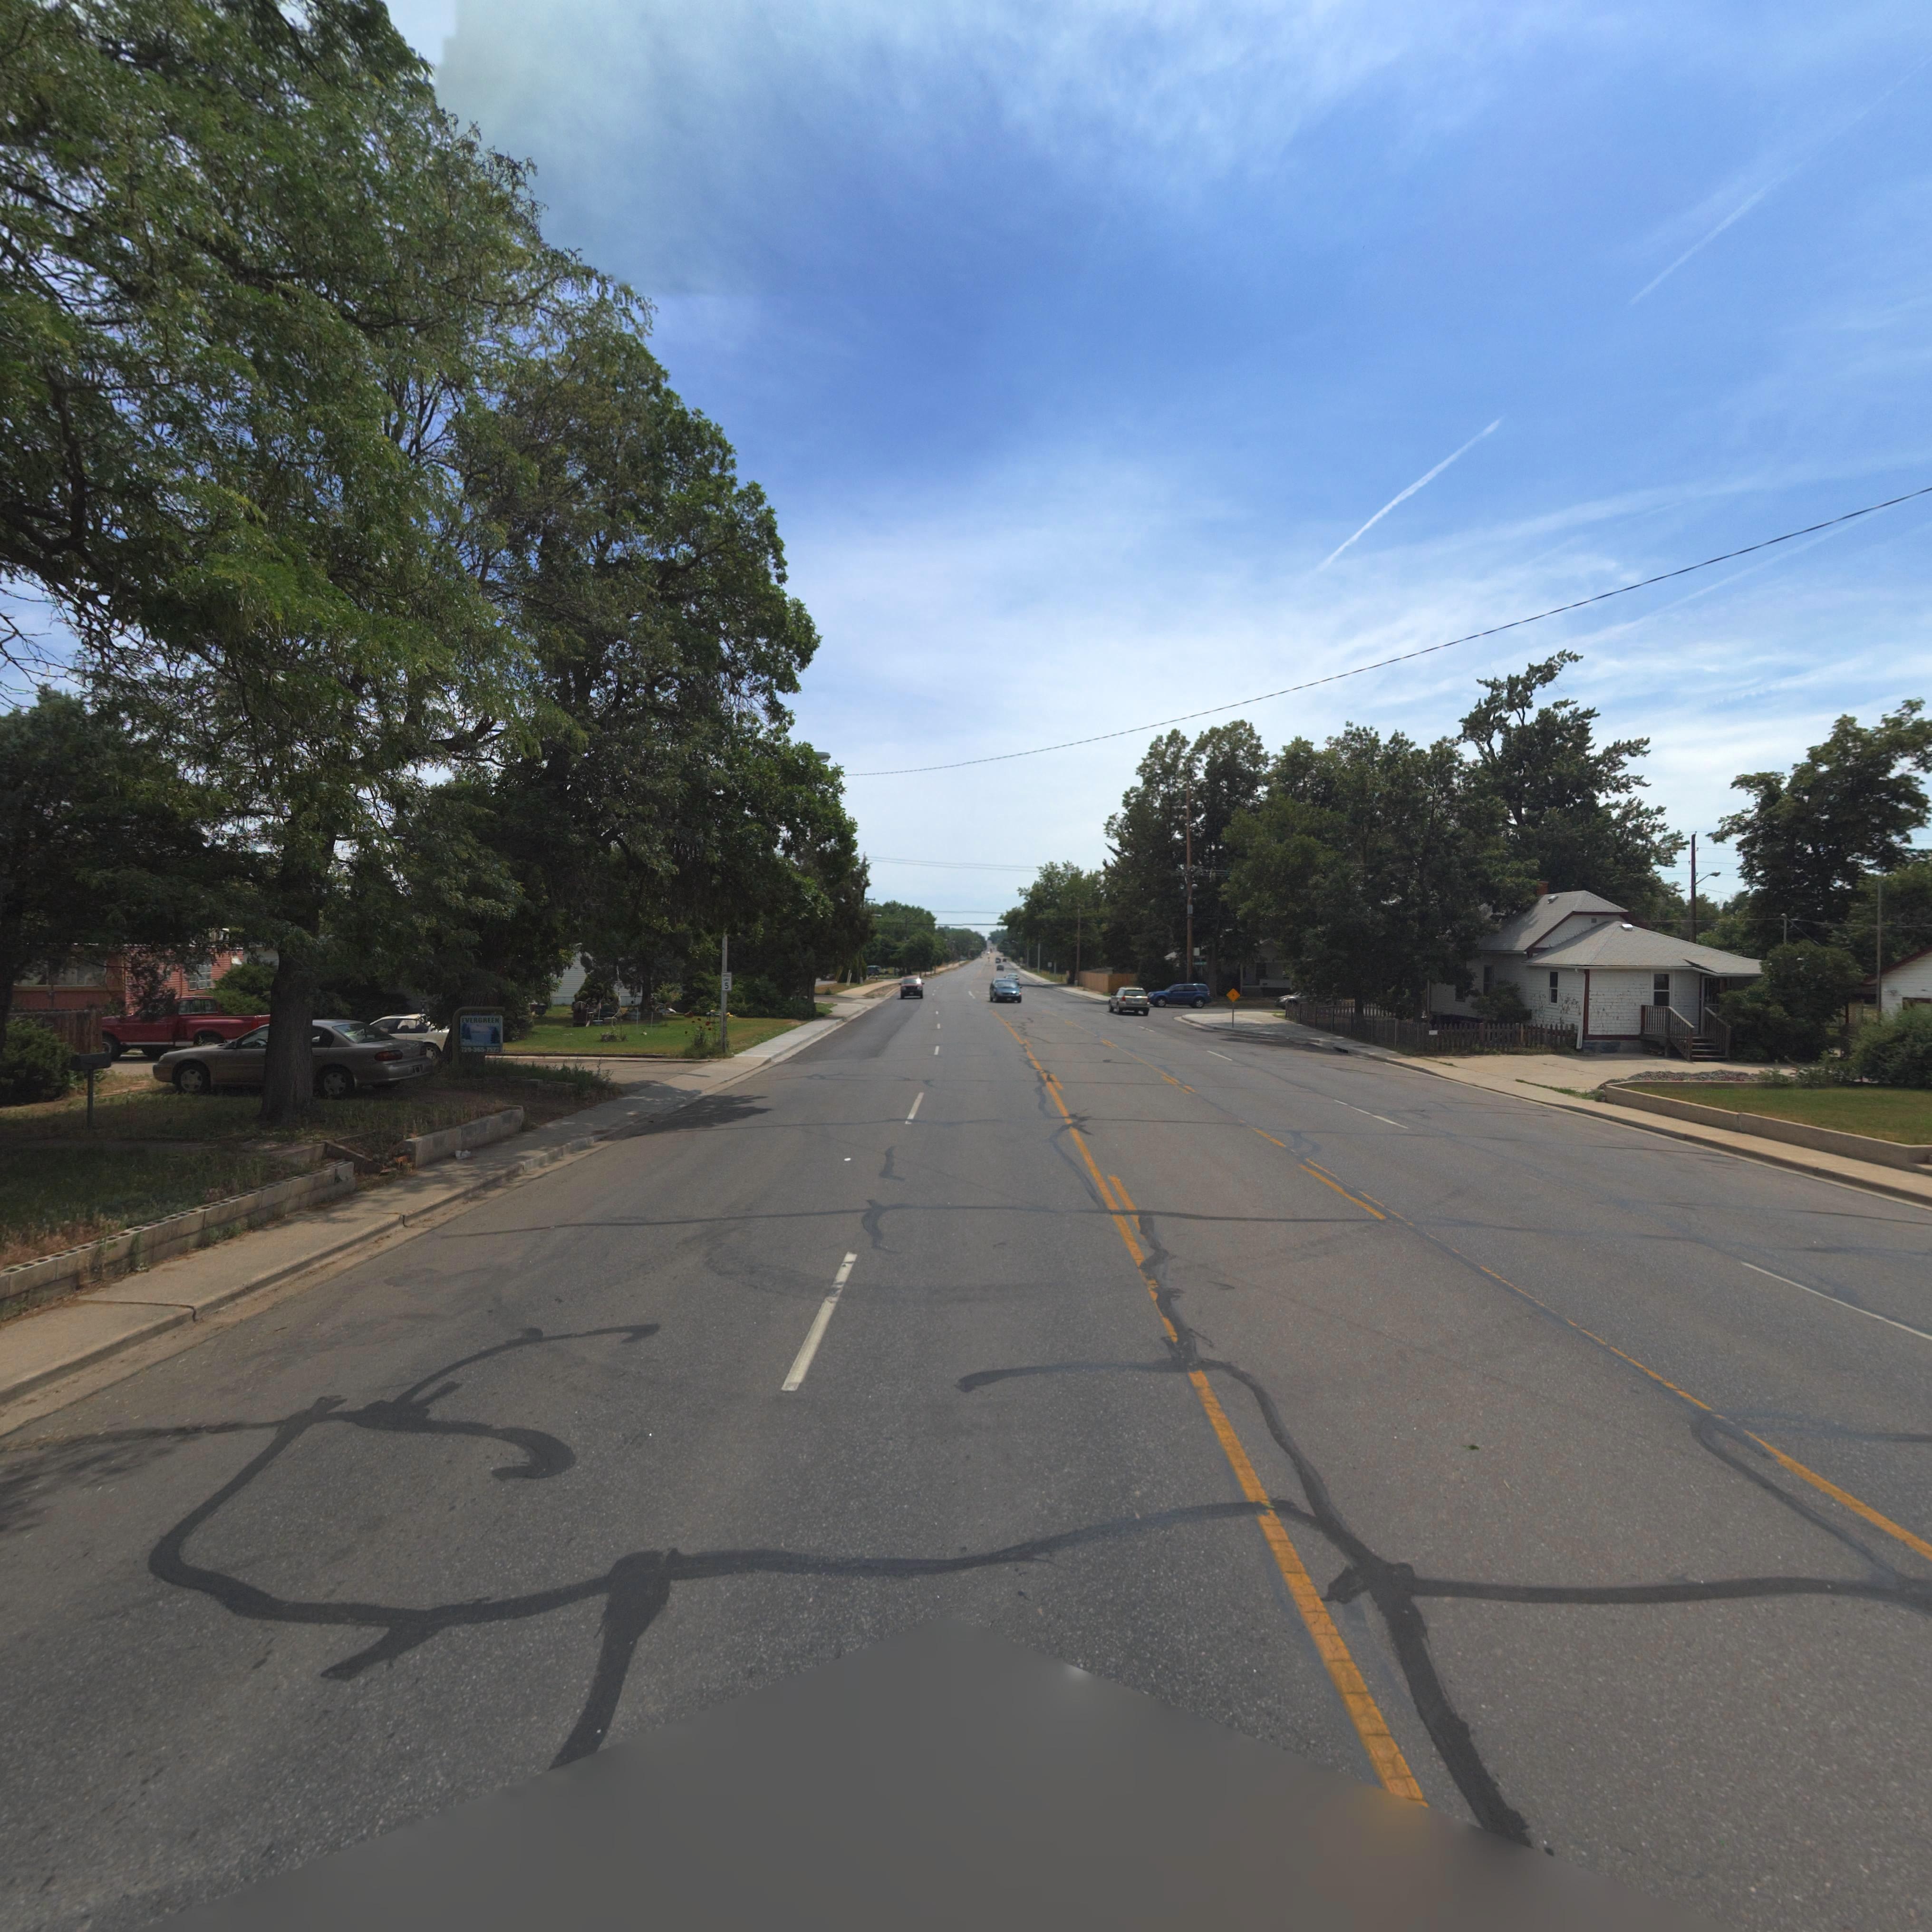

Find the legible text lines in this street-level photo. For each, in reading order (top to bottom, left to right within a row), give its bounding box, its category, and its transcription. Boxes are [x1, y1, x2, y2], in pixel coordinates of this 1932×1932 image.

[461, 1017, 500, 1023] BusinessName: EVERGREEN 